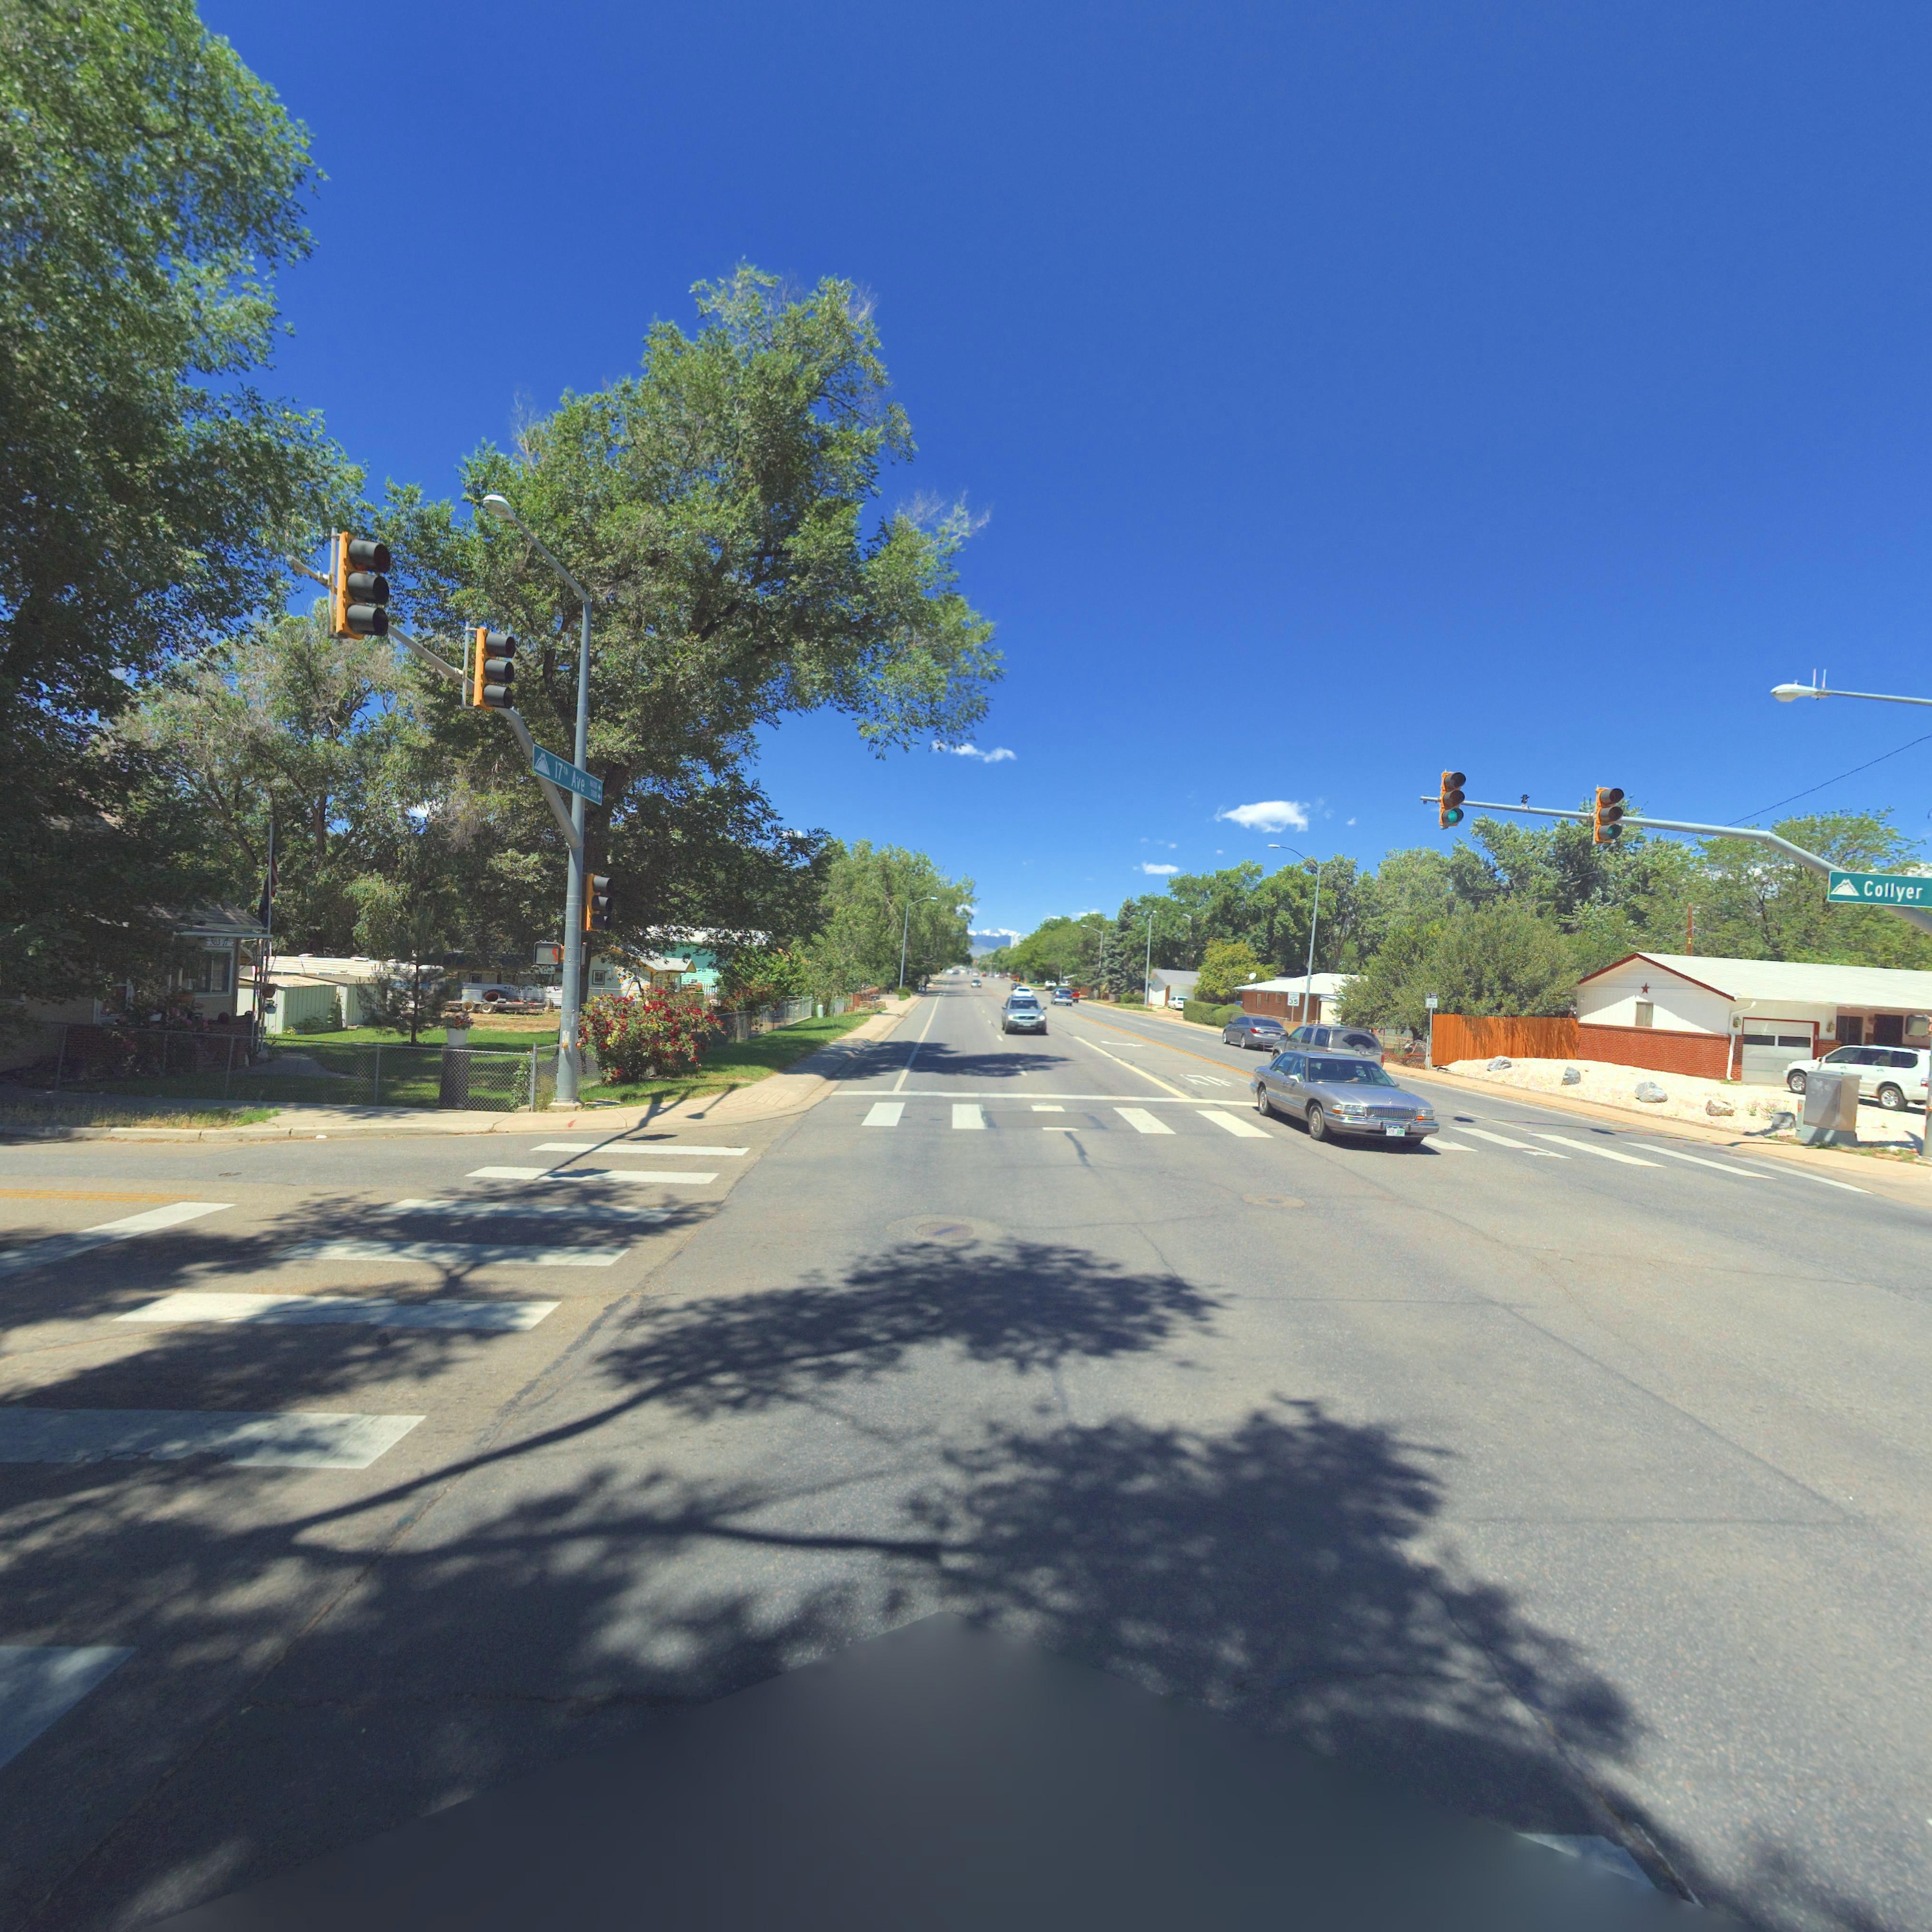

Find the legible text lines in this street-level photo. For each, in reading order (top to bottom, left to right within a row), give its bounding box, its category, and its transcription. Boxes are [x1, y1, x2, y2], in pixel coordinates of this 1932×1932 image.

[555, 761, 584, 792] StreetName: 17th Ave
[589, 779, 598, 789] StreetNumberRange: 160*
[590, 789, 601, 799] StreetNumberRange: 300->
[1864, 880, 1923, 902] StreetName: Collyer
[210, 939, 221, 945] StreetNumber: 303
[222, 939, 229, 946] StreetNumber: 17